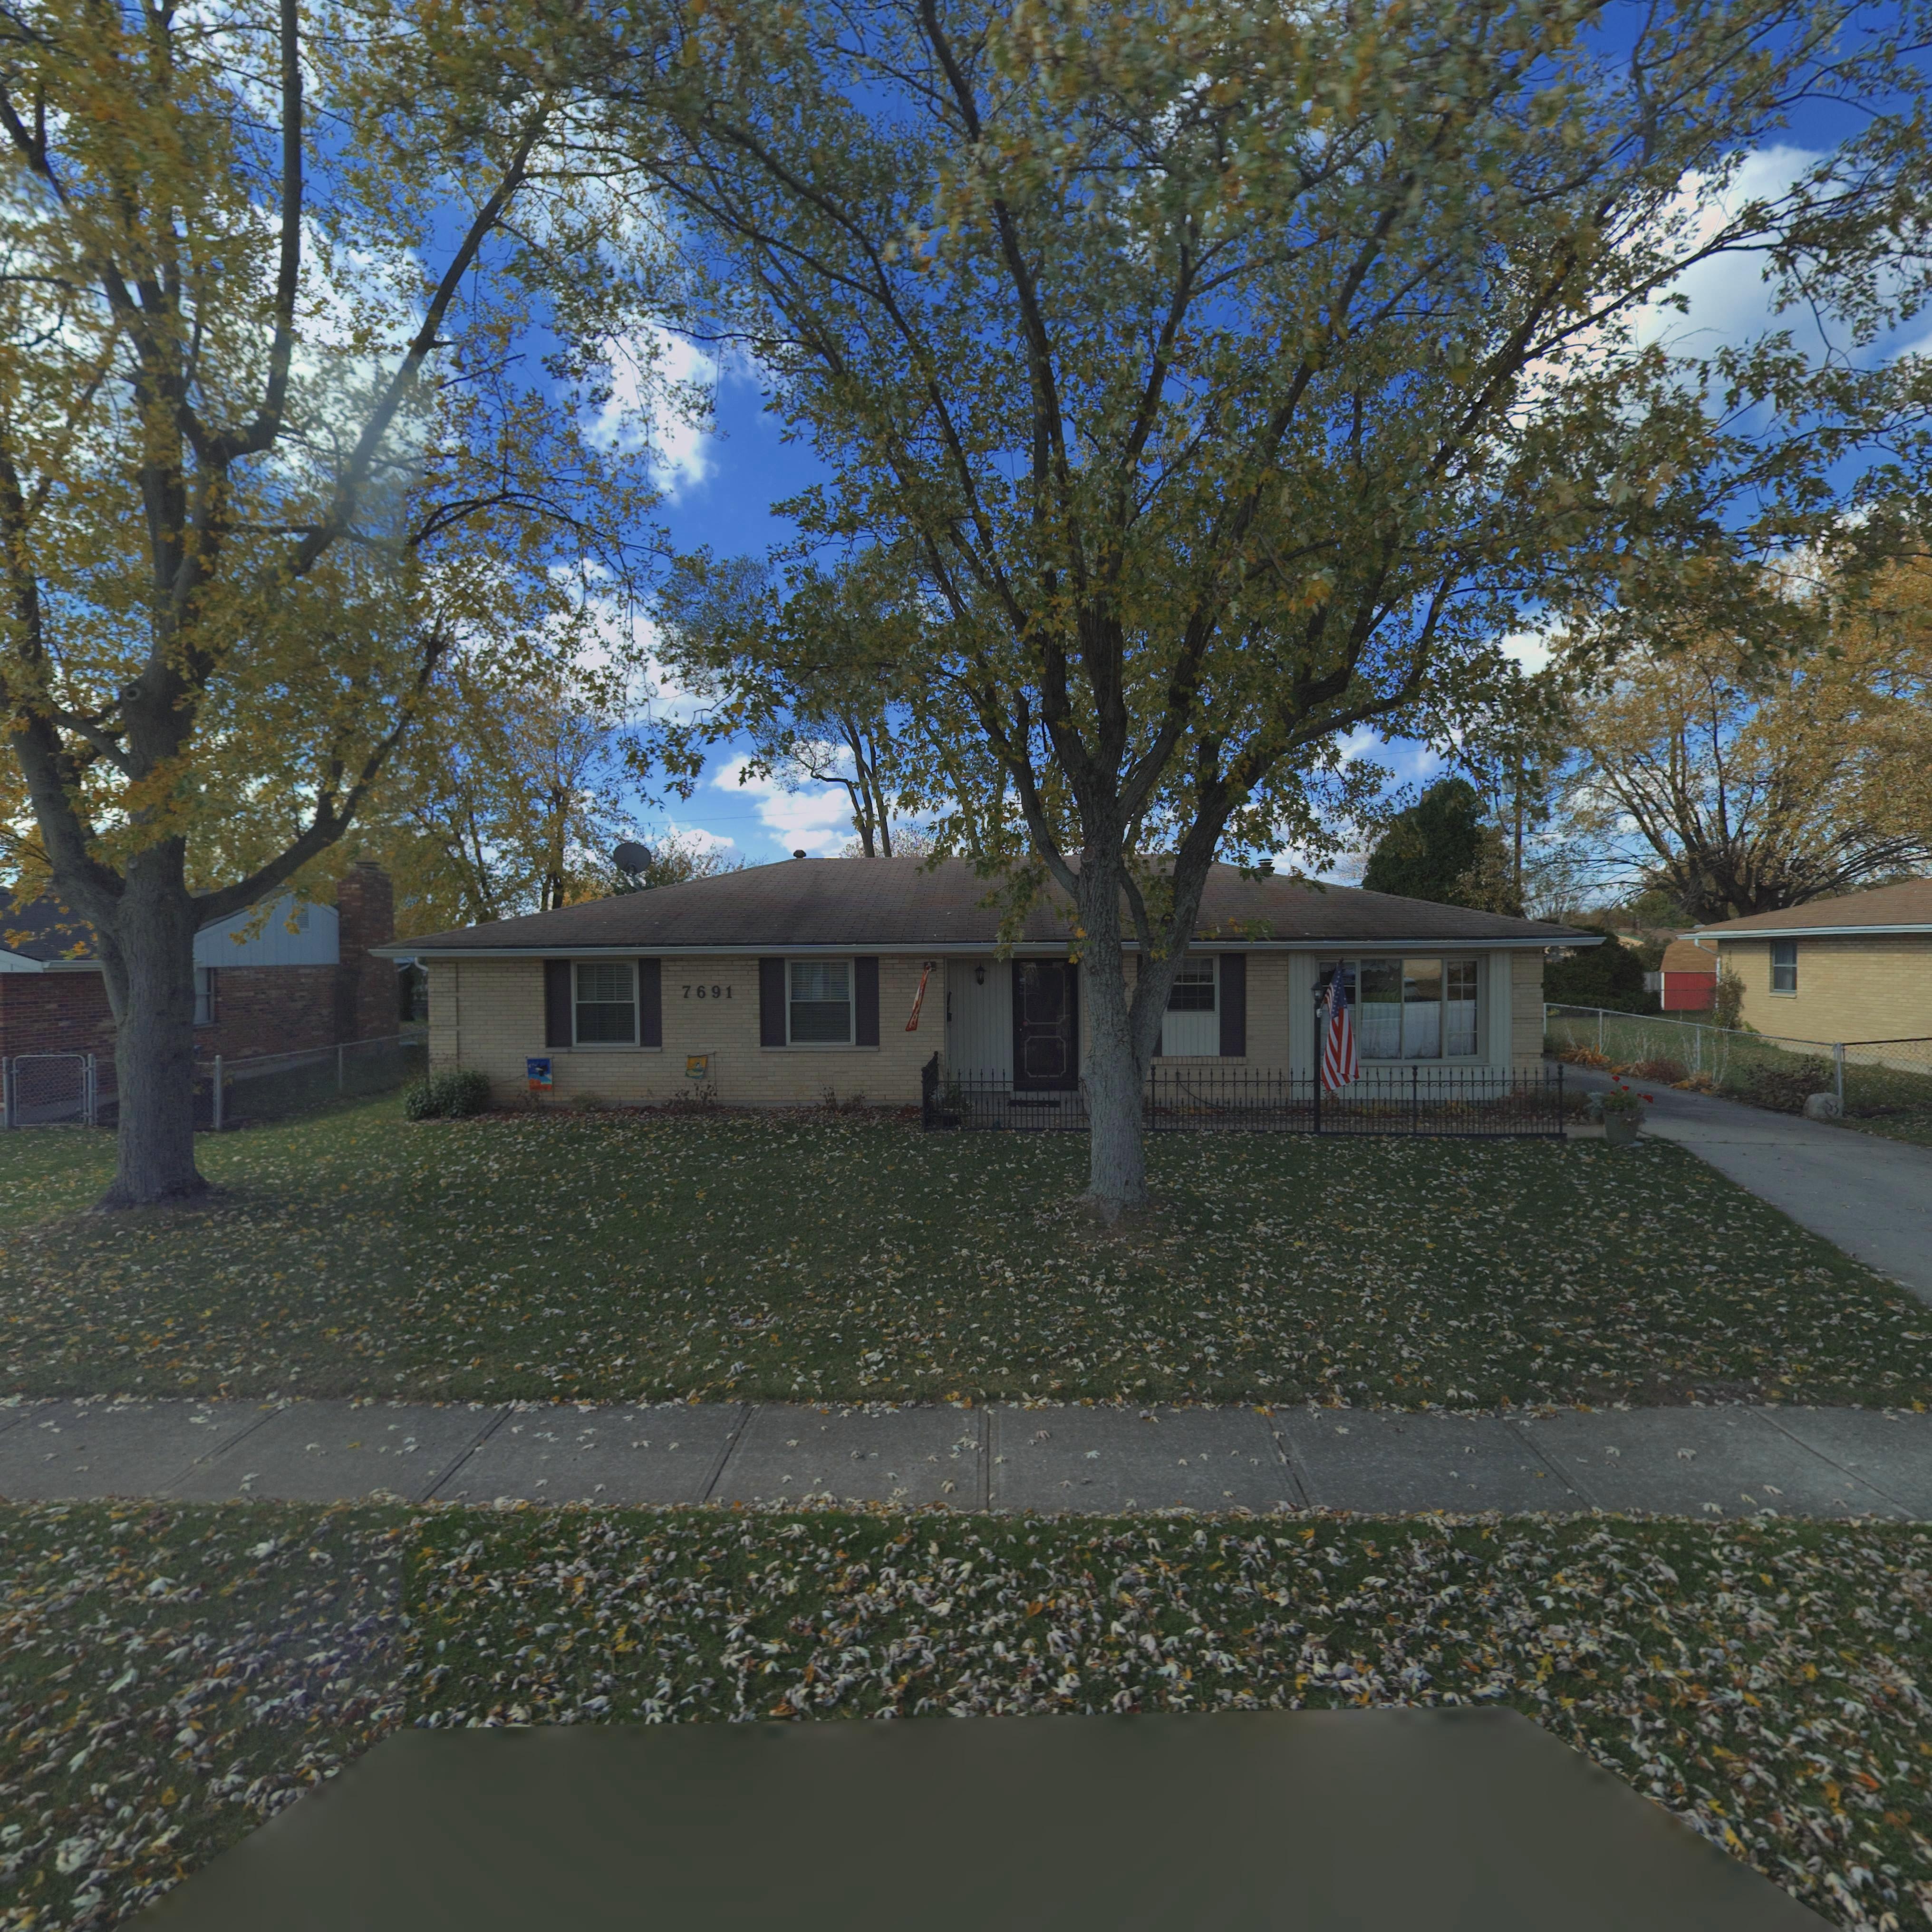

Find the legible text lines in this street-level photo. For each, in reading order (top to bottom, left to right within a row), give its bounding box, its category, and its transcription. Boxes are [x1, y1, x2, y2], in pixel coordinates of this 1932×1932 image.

[681, 984, 733, 999] StreetNumber: 7691